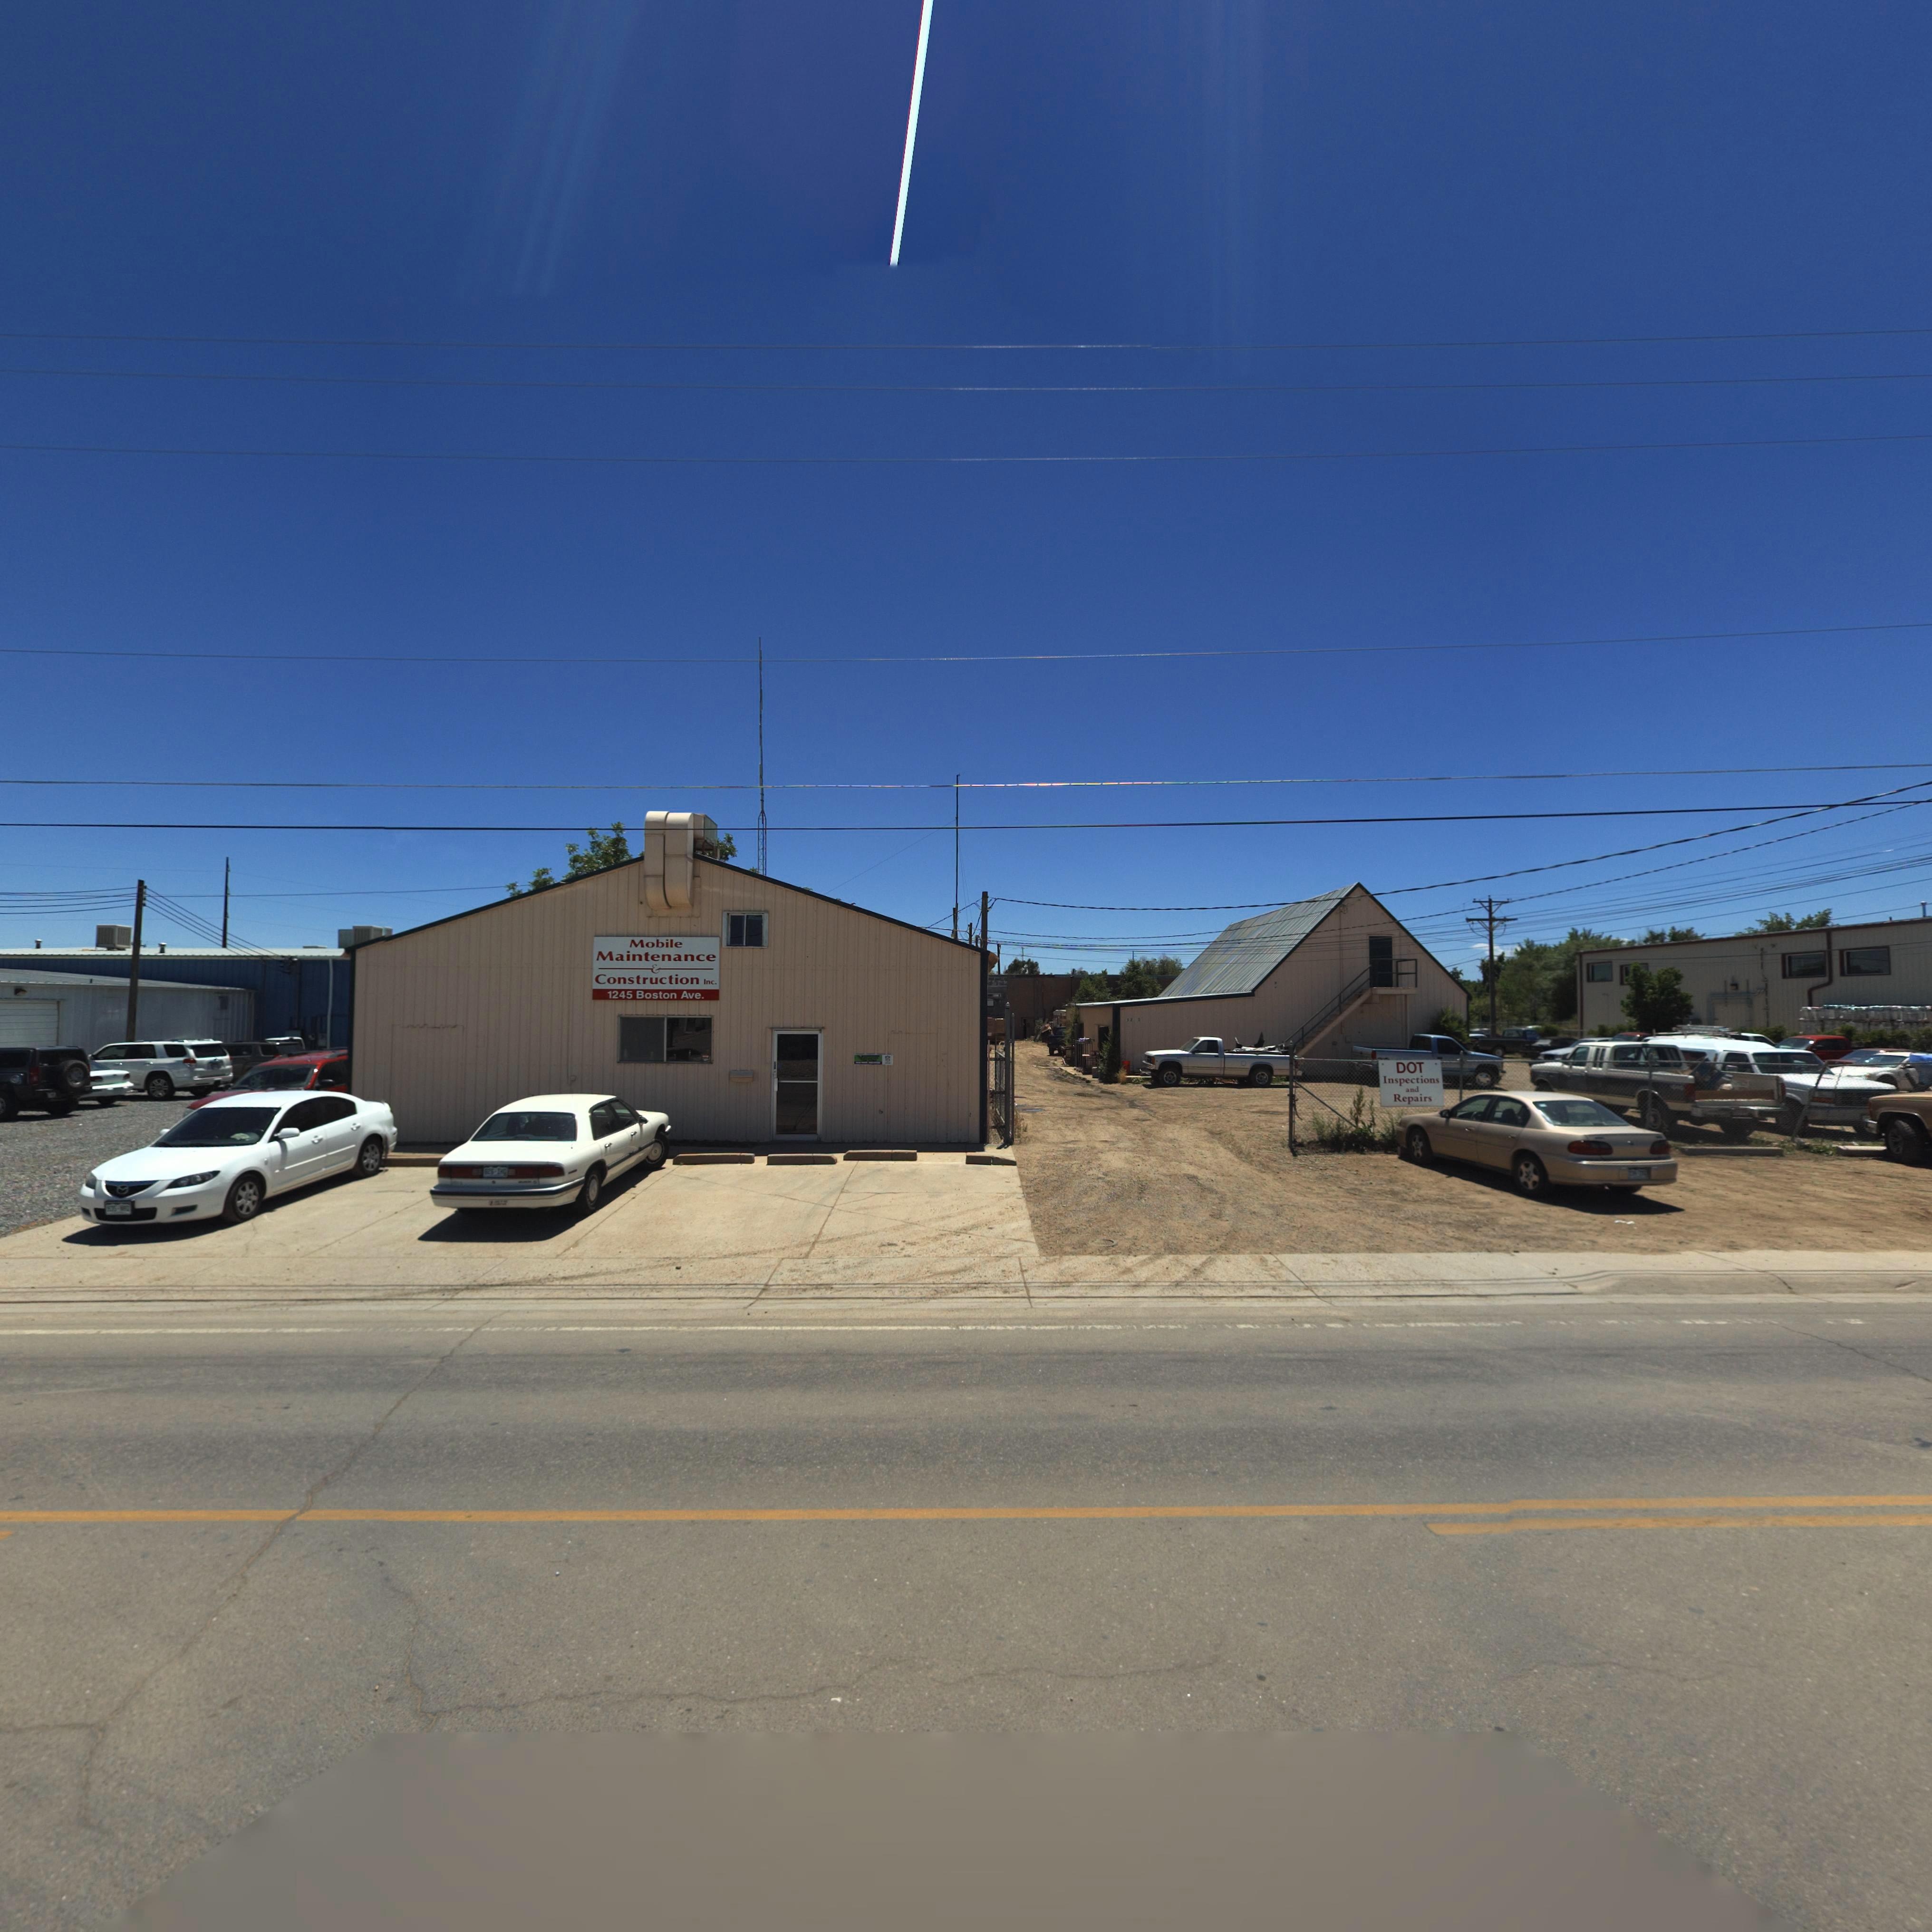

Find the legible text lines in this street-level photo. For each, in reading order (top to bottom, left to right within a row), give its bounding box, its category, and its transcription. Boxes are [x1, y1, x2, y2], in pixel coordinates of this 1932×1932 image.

[629, 938, 683, 948] BusinessName: Mobile
[596, 950, 716, 962] BusinessName: Maintenance
[651, 963, 661, 974] BusinessName: &
[594, 973, 717, 984] BusinessName: Constuction Inc.
[607, 990, 632, 999] StreetNumber: 1245
[636, 990, 704, 999] StreetName: Boston Ave
[1127, 1017, 1140, 1022] StreetNumber: 12*5